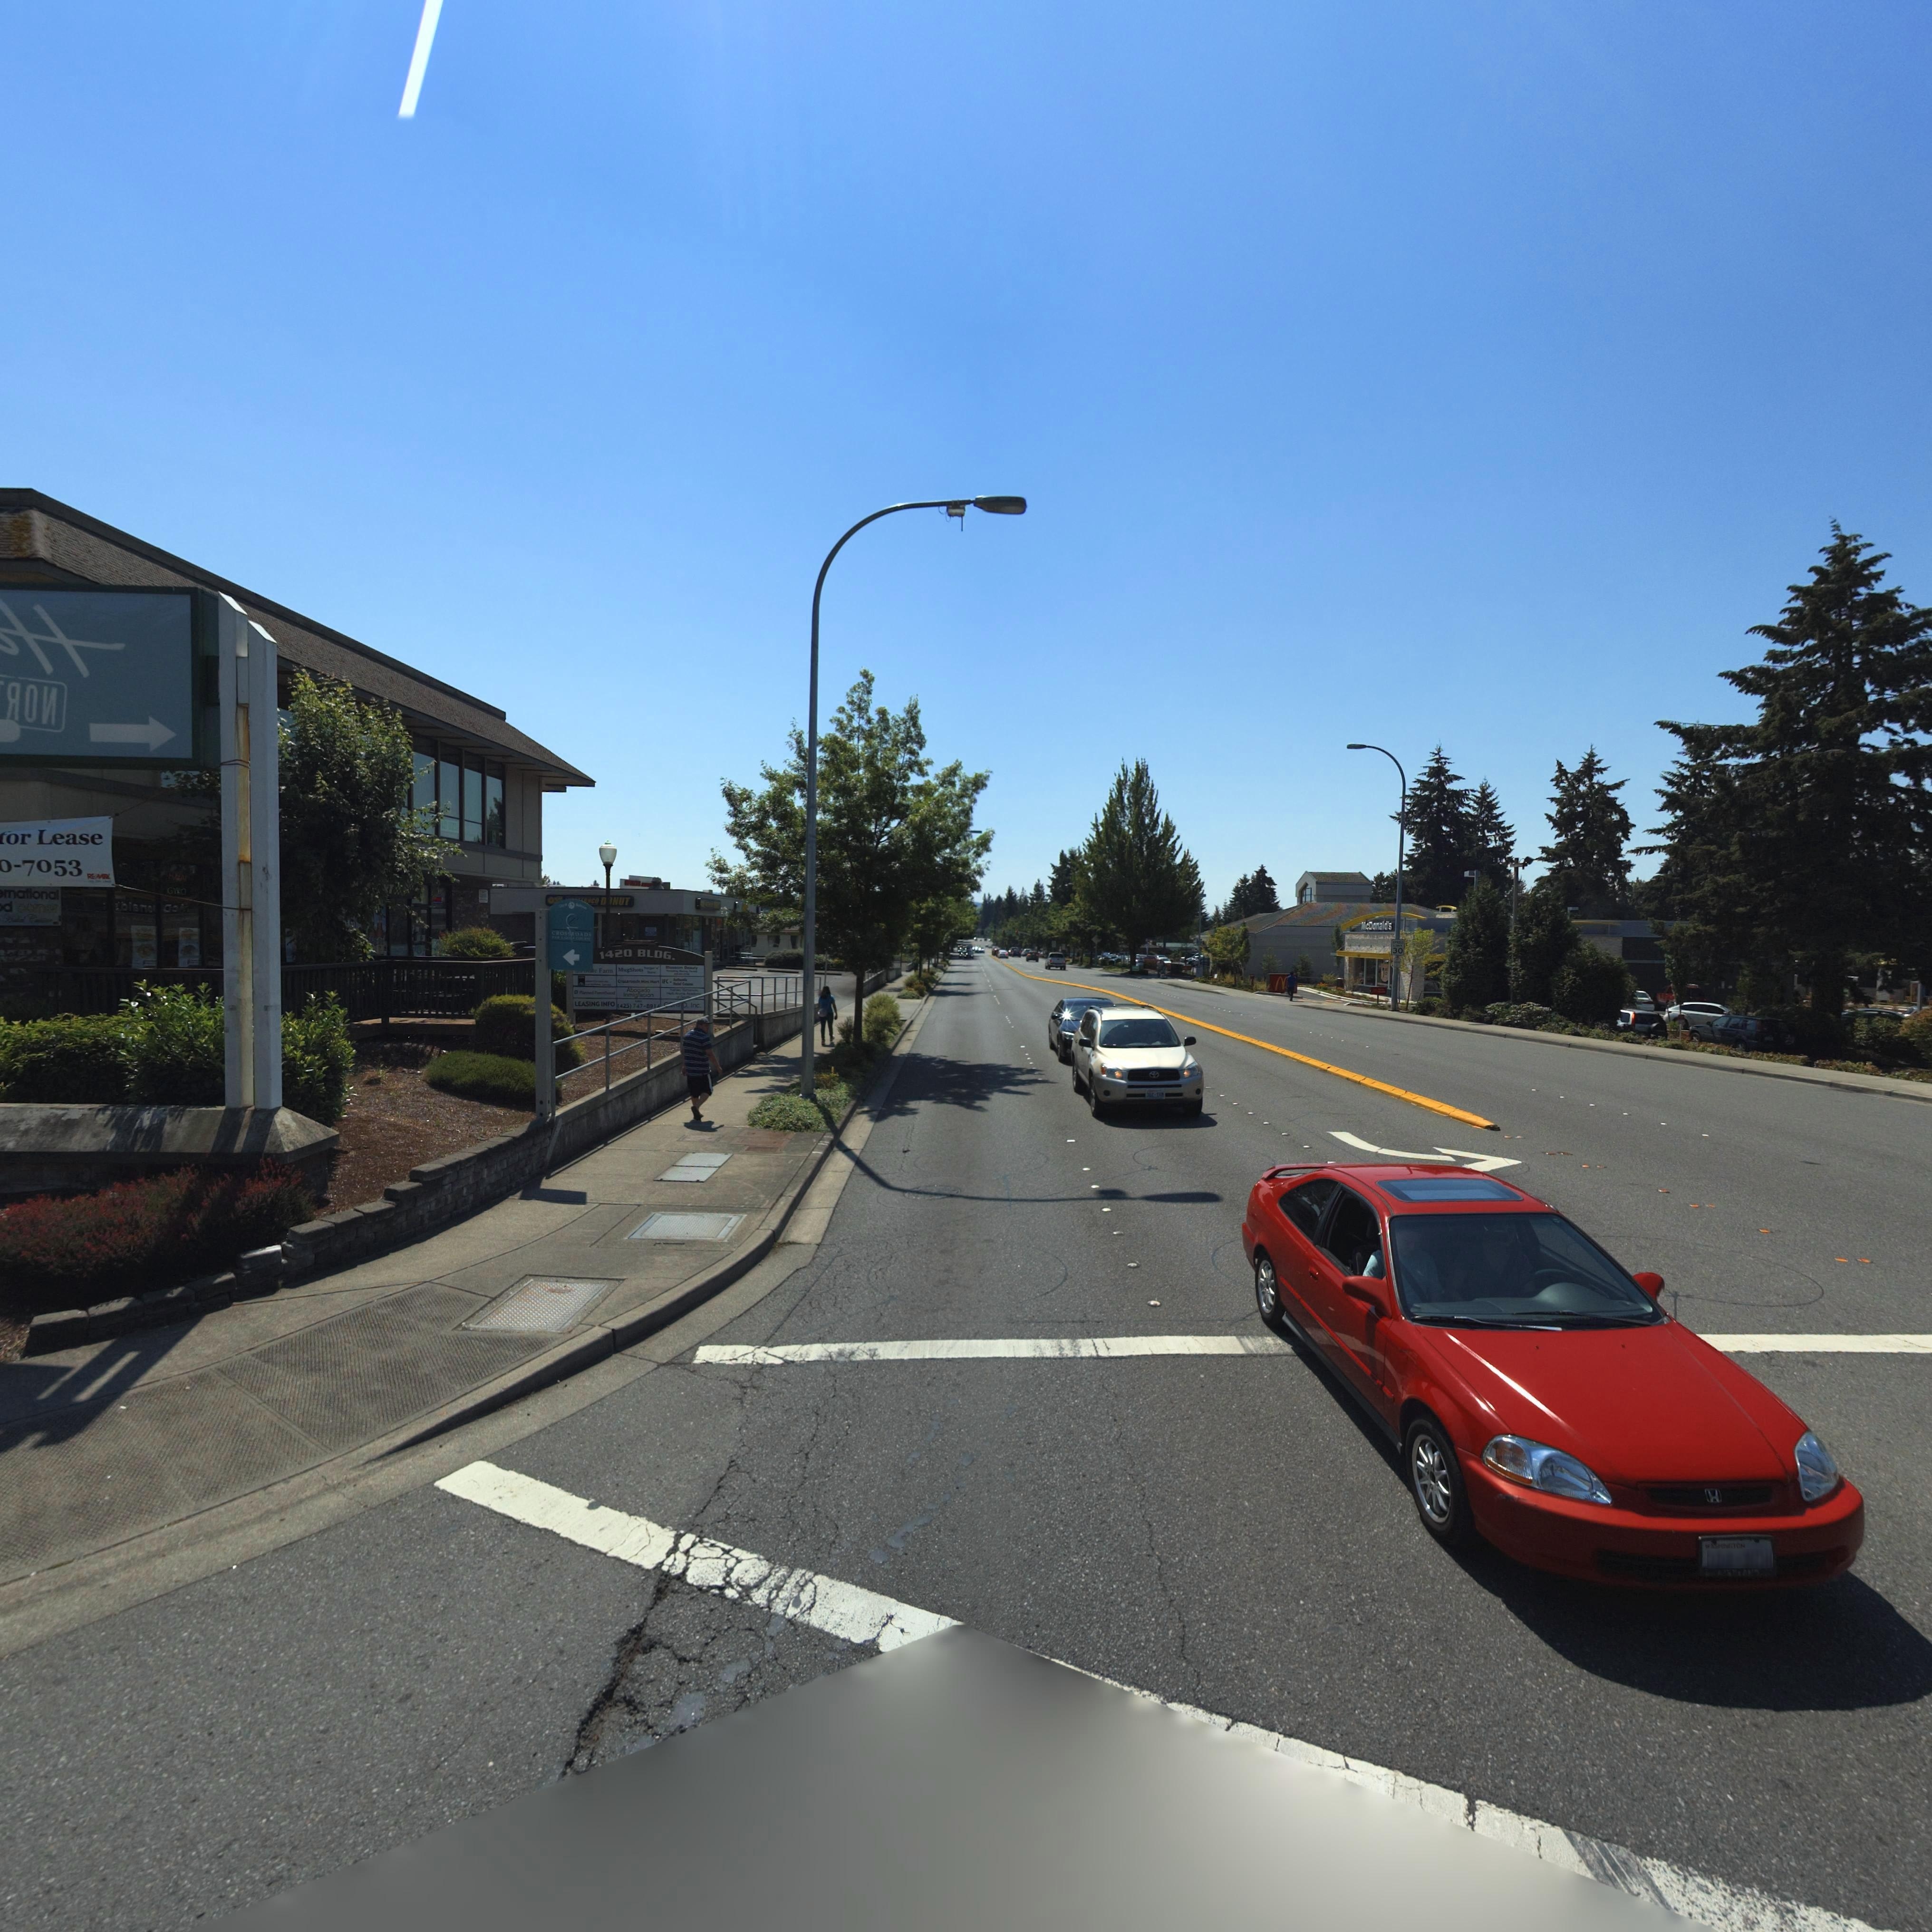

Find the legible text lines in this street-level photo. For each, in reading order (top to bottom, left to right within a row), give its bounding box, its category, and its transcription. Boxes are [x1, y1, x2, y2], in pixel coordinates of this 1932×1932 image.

[588, 896, 631, 906] BusinessName: *CO D*NUT
[599, 948, 632, 960] StreetNumber: 1420
[599, 966, 613, 974] BusinessName: Fa*m
[617, 966, 643, 973] BusinessName: MugShots
[661, 978, 668, 984] BusinessName: IFC
[627, 986, 650, 994] BusinessName: Abog*do
[683, 1001, 700, 1008] BusinessName: *, Inc